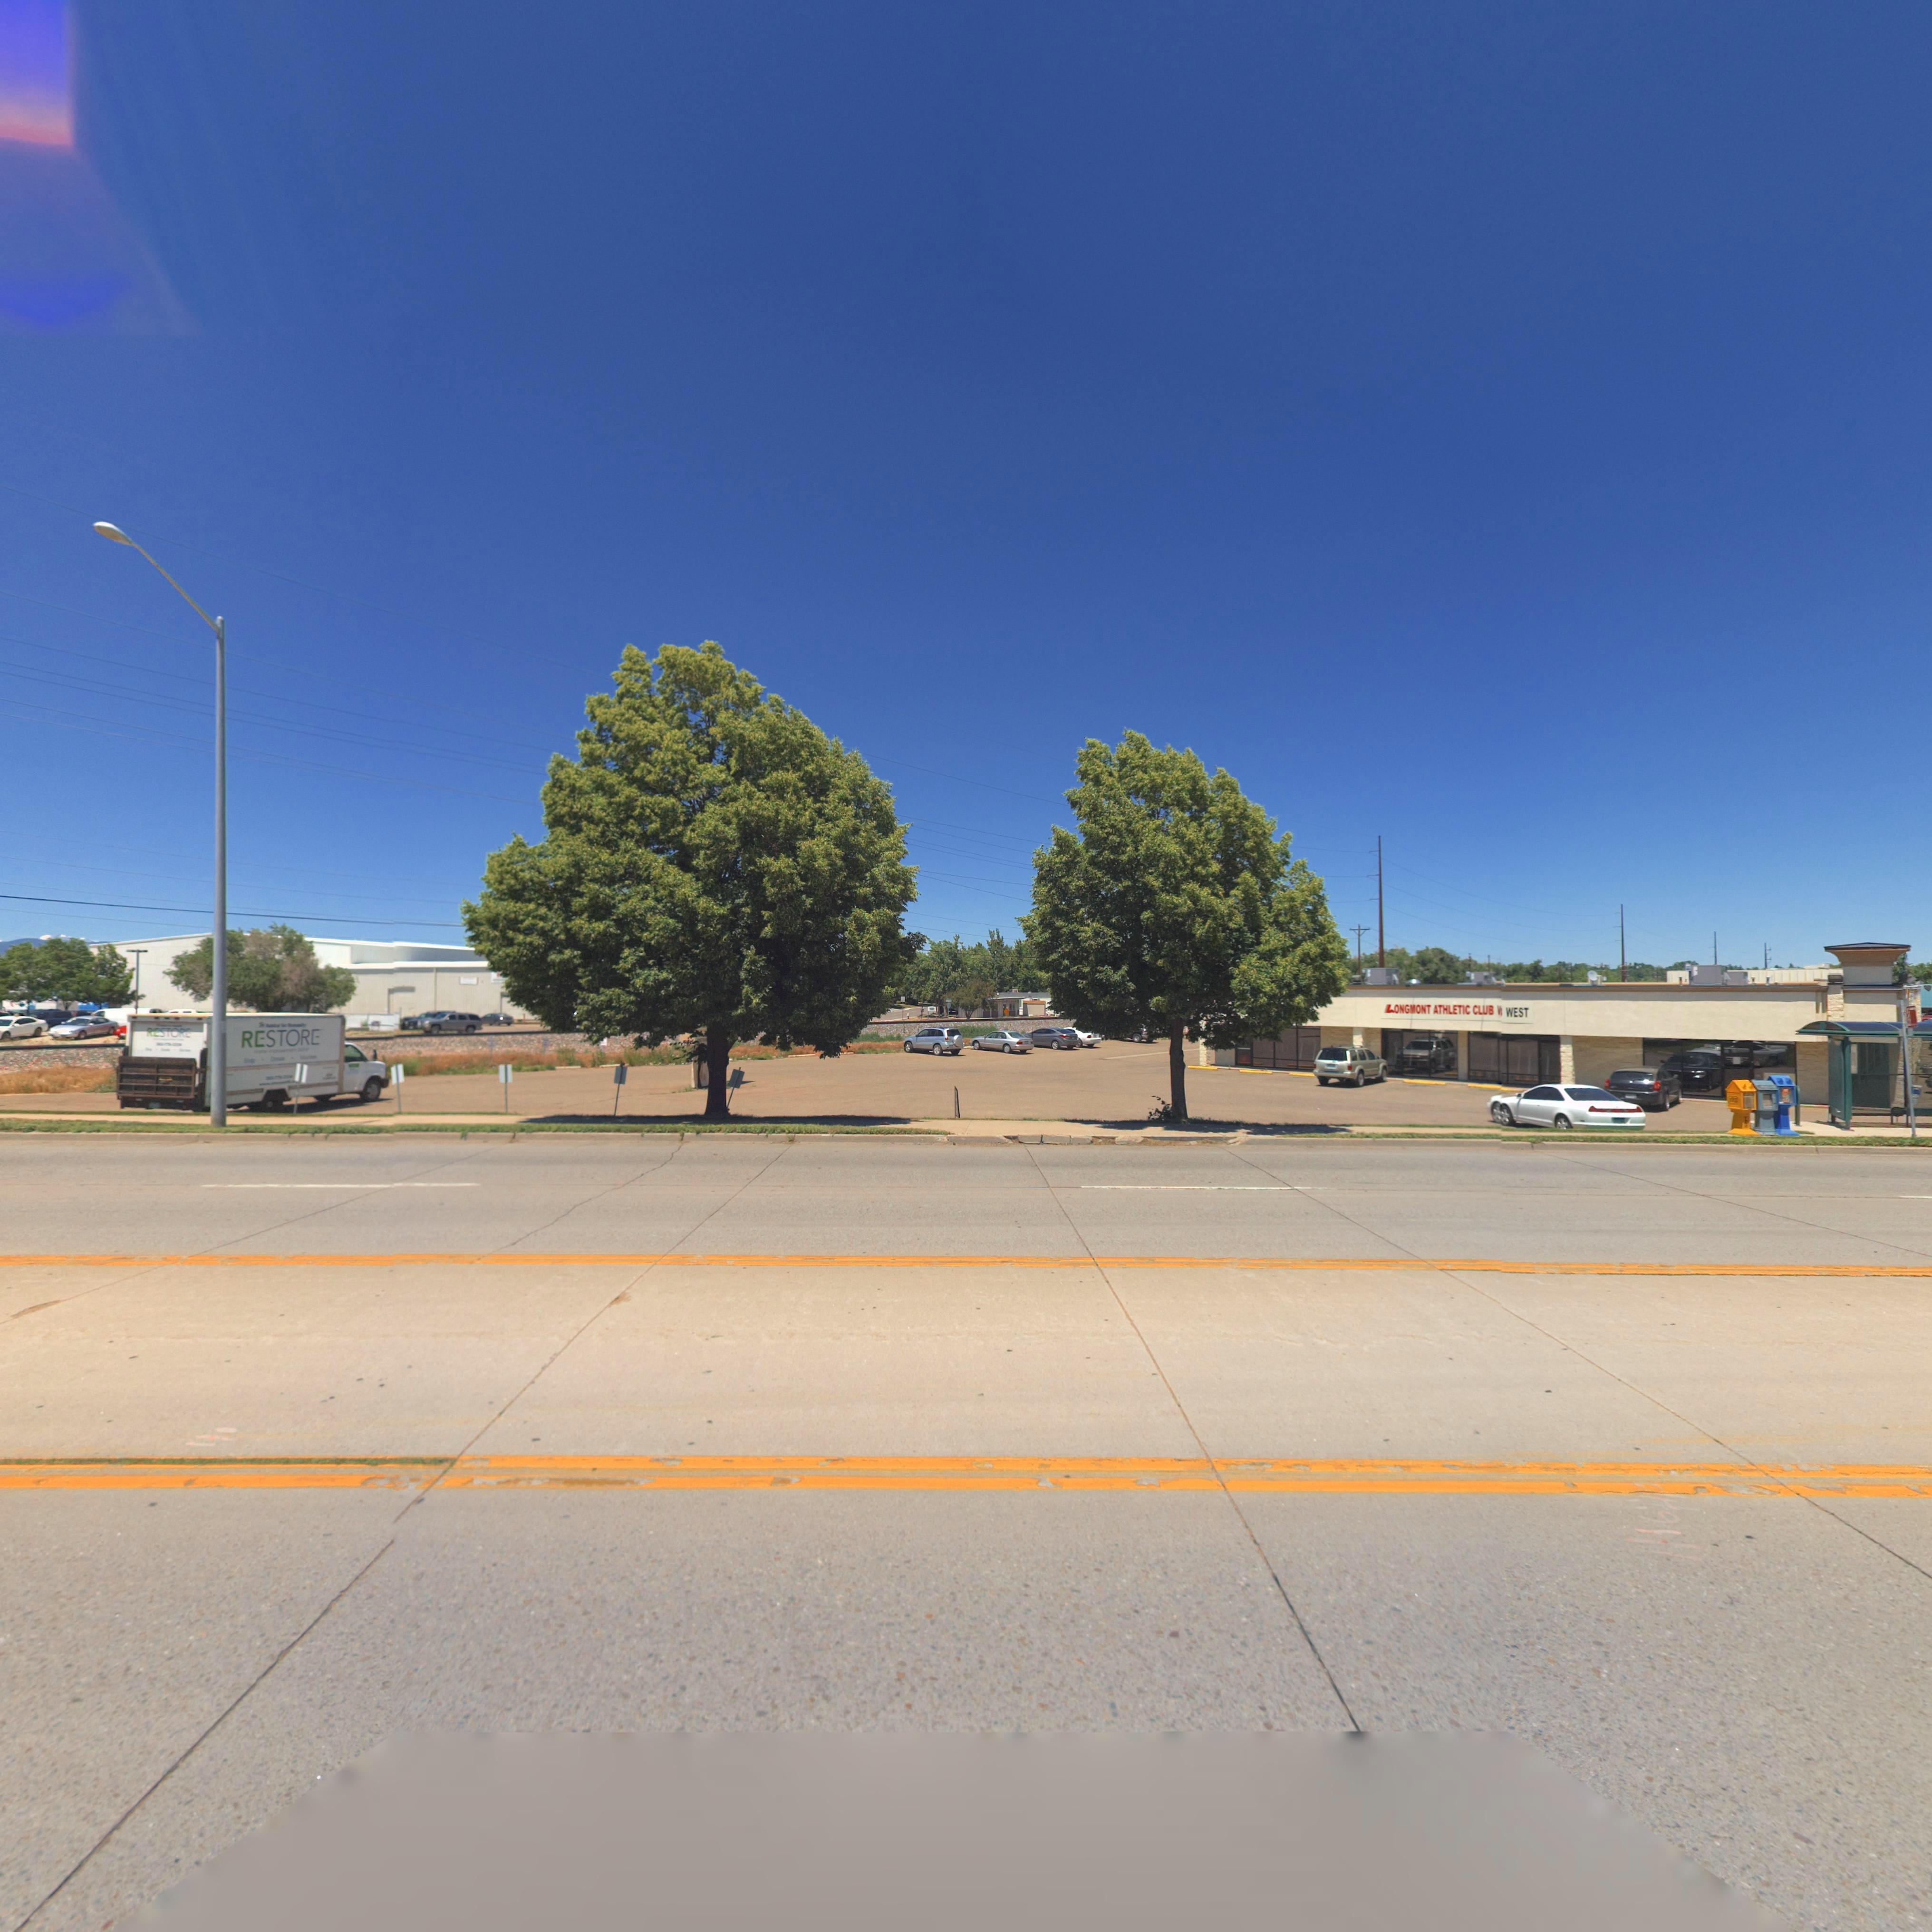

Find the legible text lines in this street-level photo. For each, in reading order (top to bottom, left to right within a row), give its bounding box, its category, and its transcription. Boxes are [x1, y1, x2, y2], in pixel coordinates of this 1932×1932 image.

[1383, 1004, 1529, 1017] BusinessName: LONGMONT ATHLECTIC CLUB * WEST